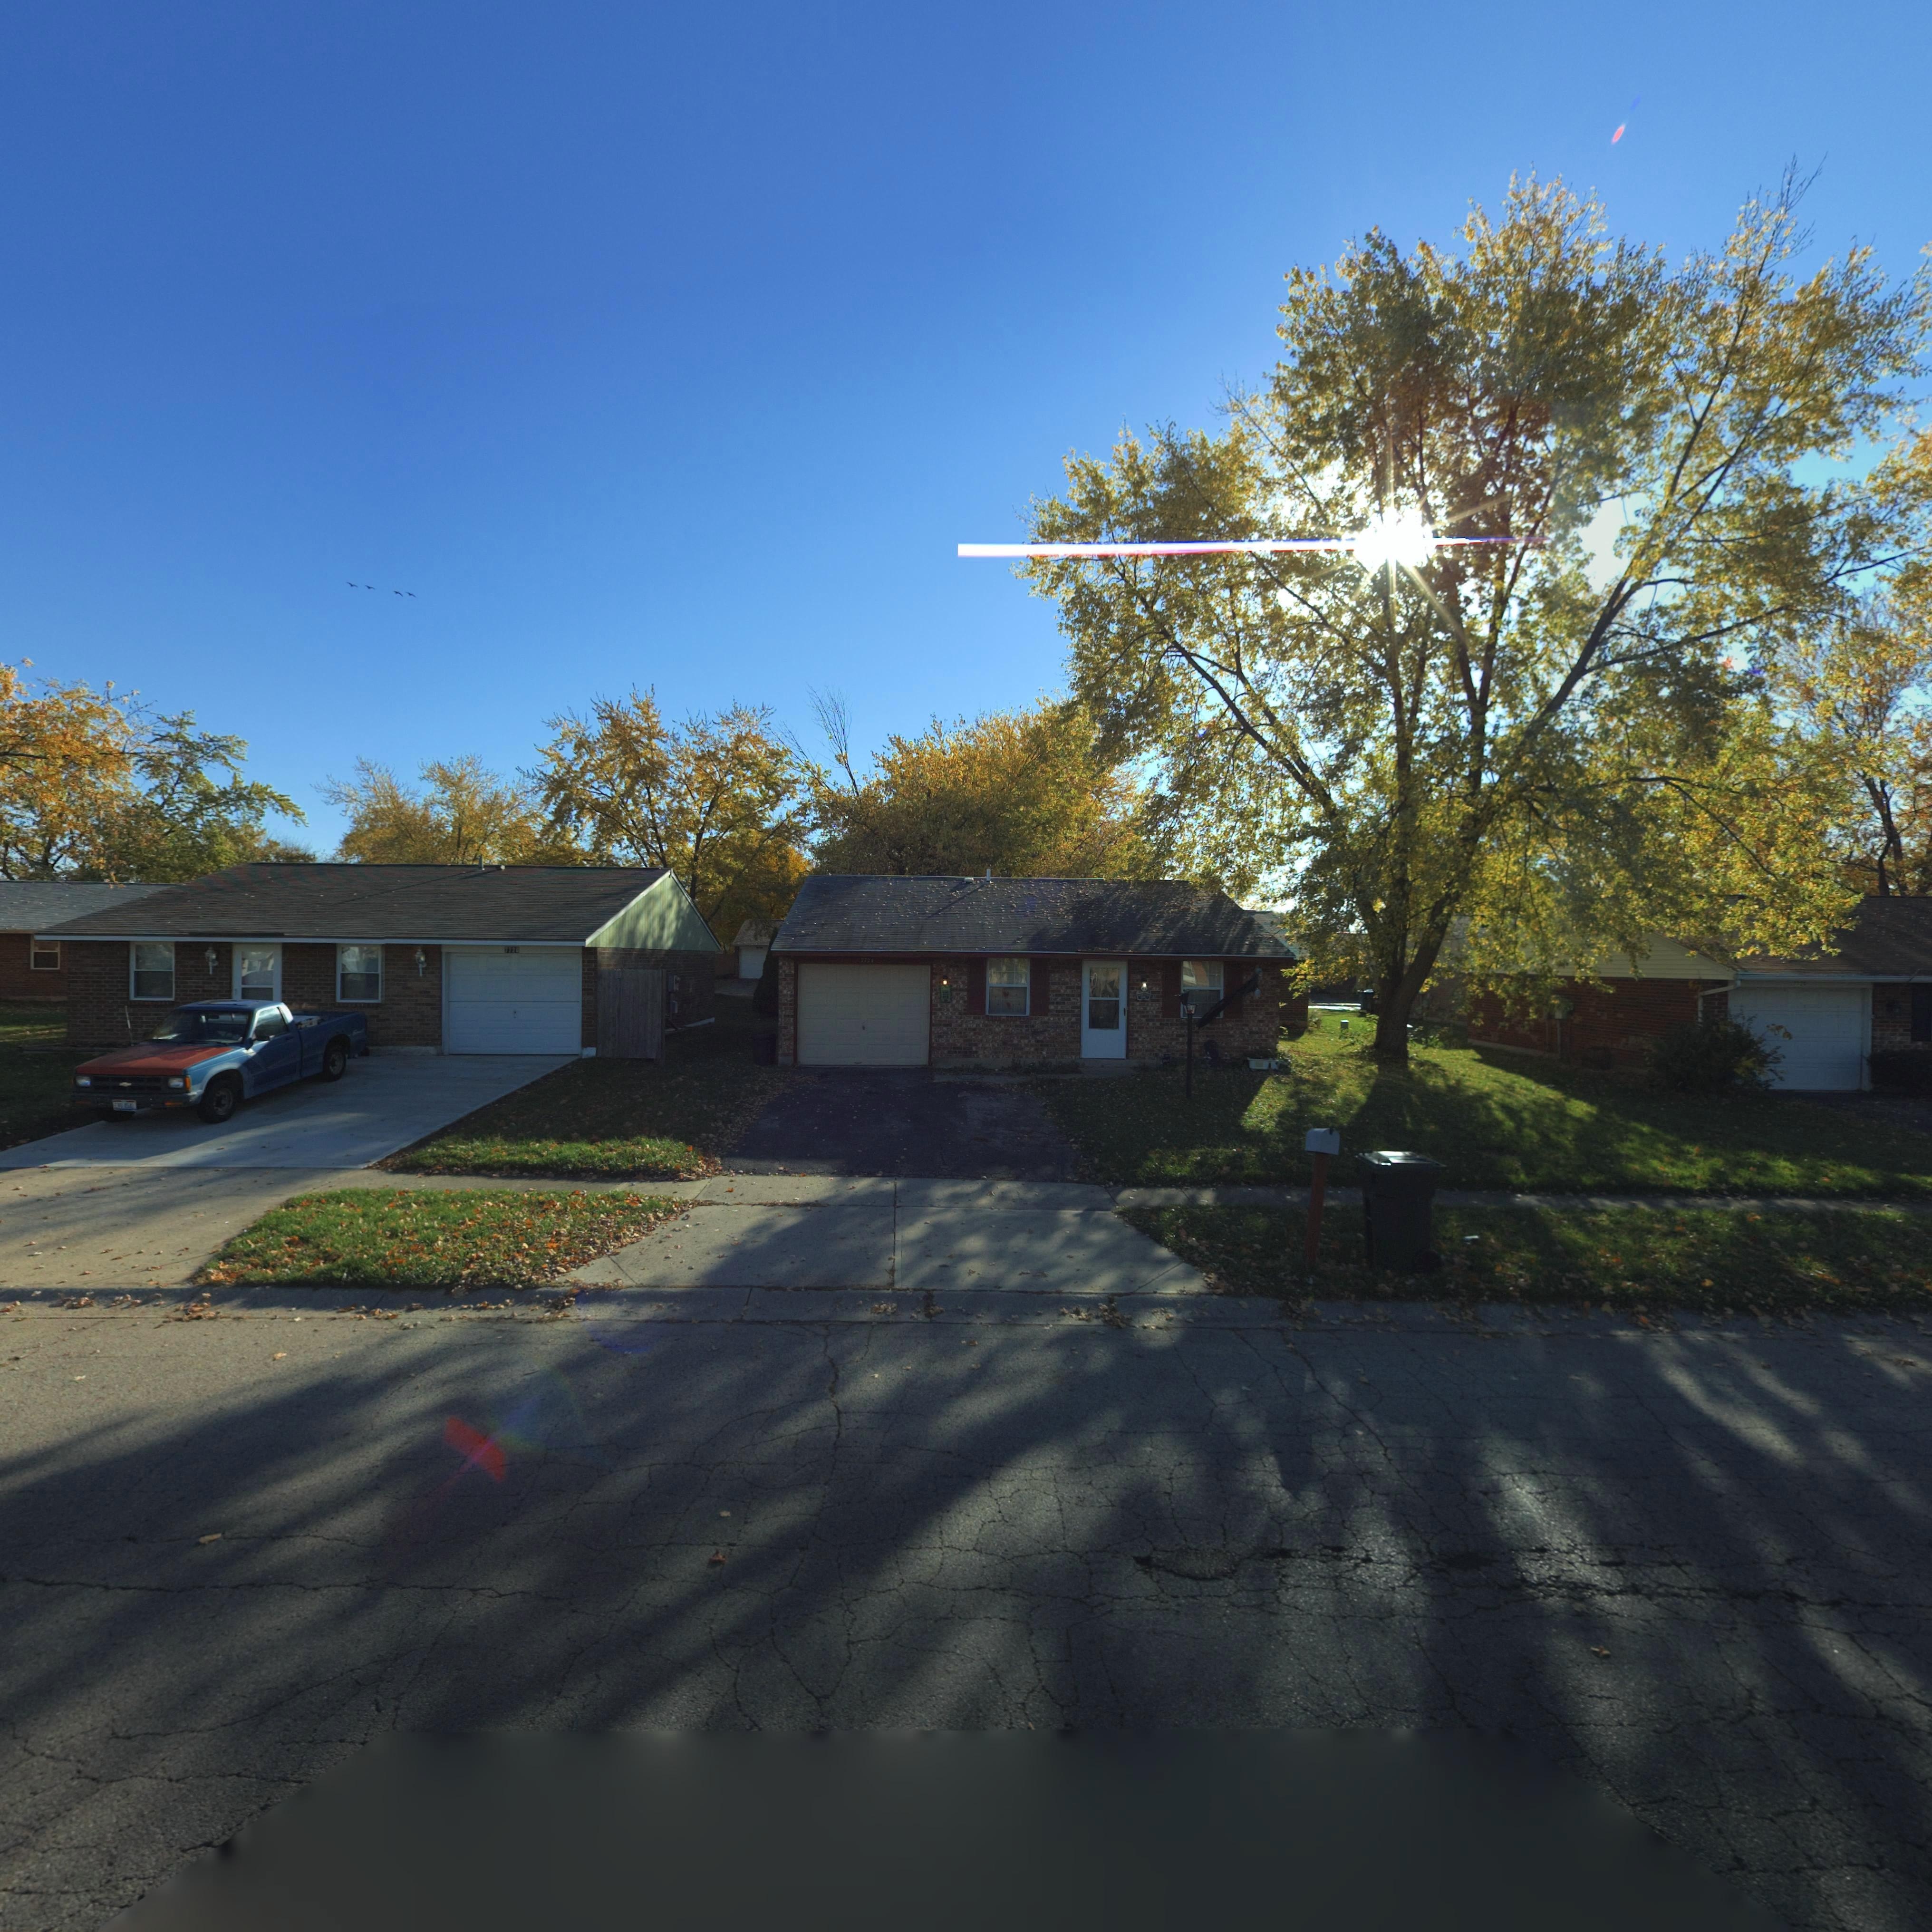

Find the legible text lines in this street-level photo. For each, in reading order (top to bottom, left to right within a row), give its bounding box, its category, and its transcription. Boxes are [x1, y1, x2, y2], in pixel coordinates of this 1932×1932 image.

[504, 946, 521, 954] StreetNumber: 772*
[860, 957, 875, 964] StreetNumber: 7724